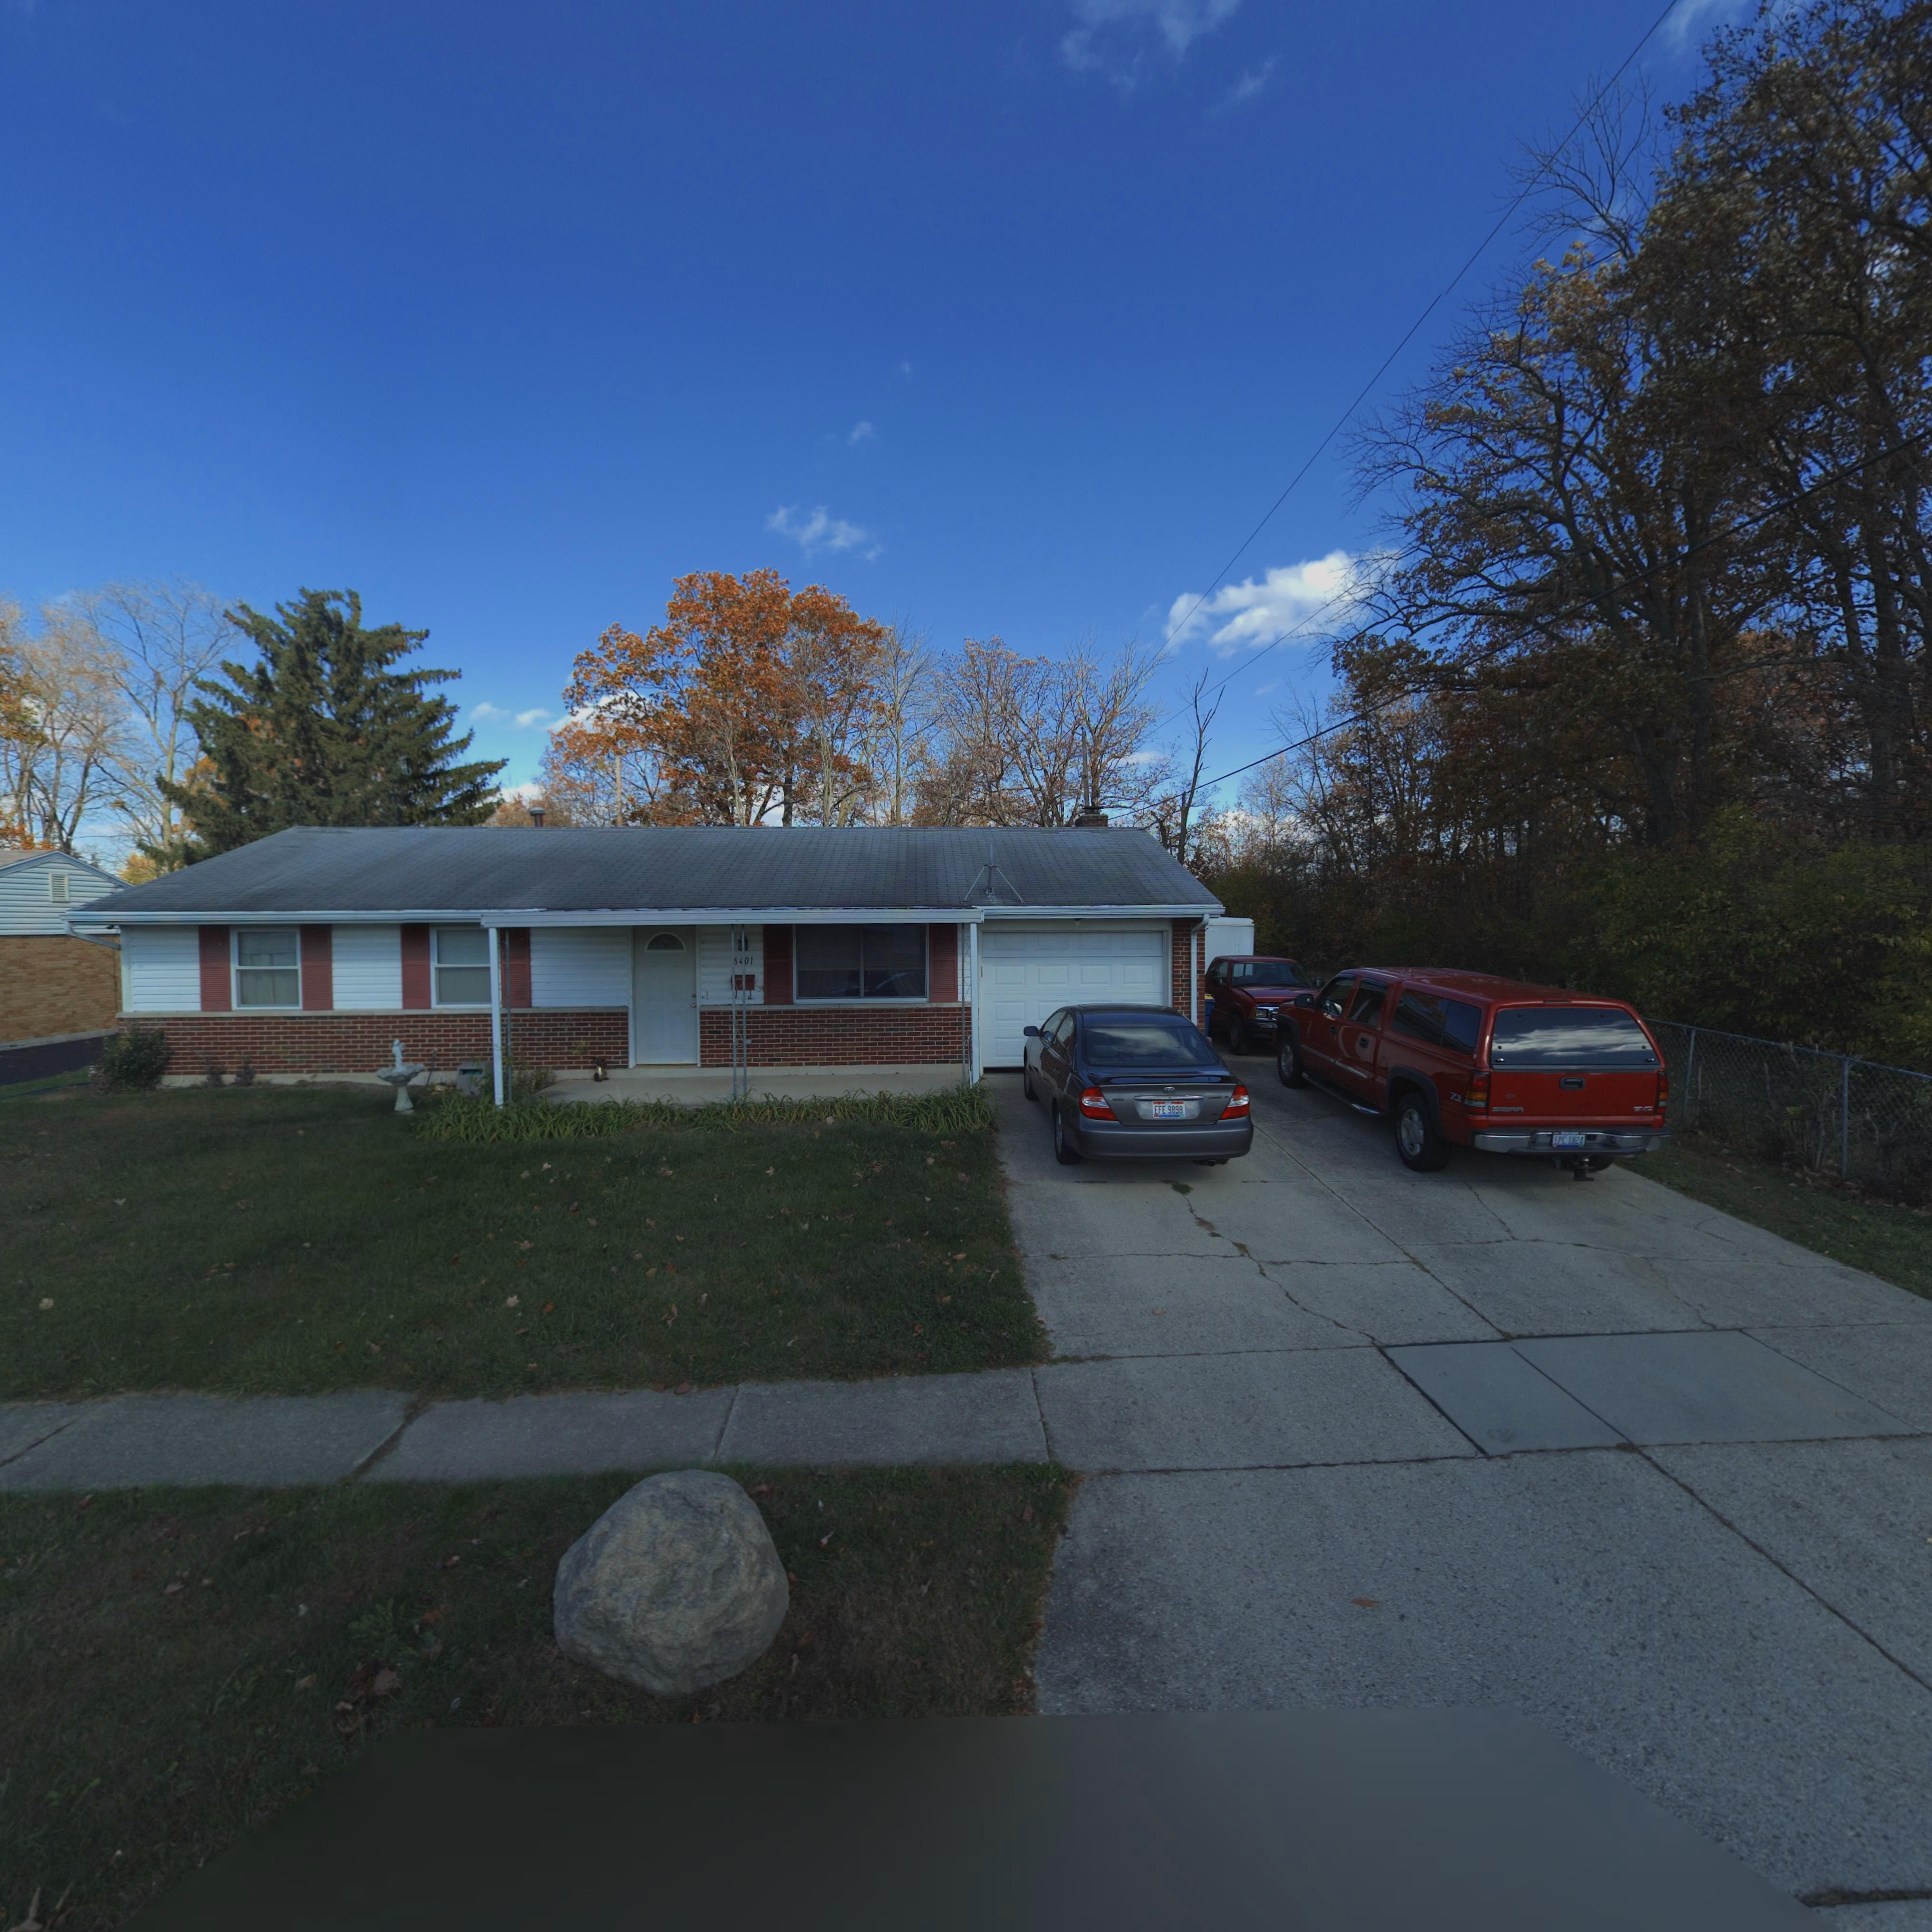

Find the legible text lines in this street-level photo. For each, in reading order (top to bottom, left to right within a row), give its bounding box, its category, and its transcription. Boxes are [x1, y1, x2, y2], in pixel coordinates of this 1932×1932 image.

[733, 956, 753, 965] StreetNumber: **01